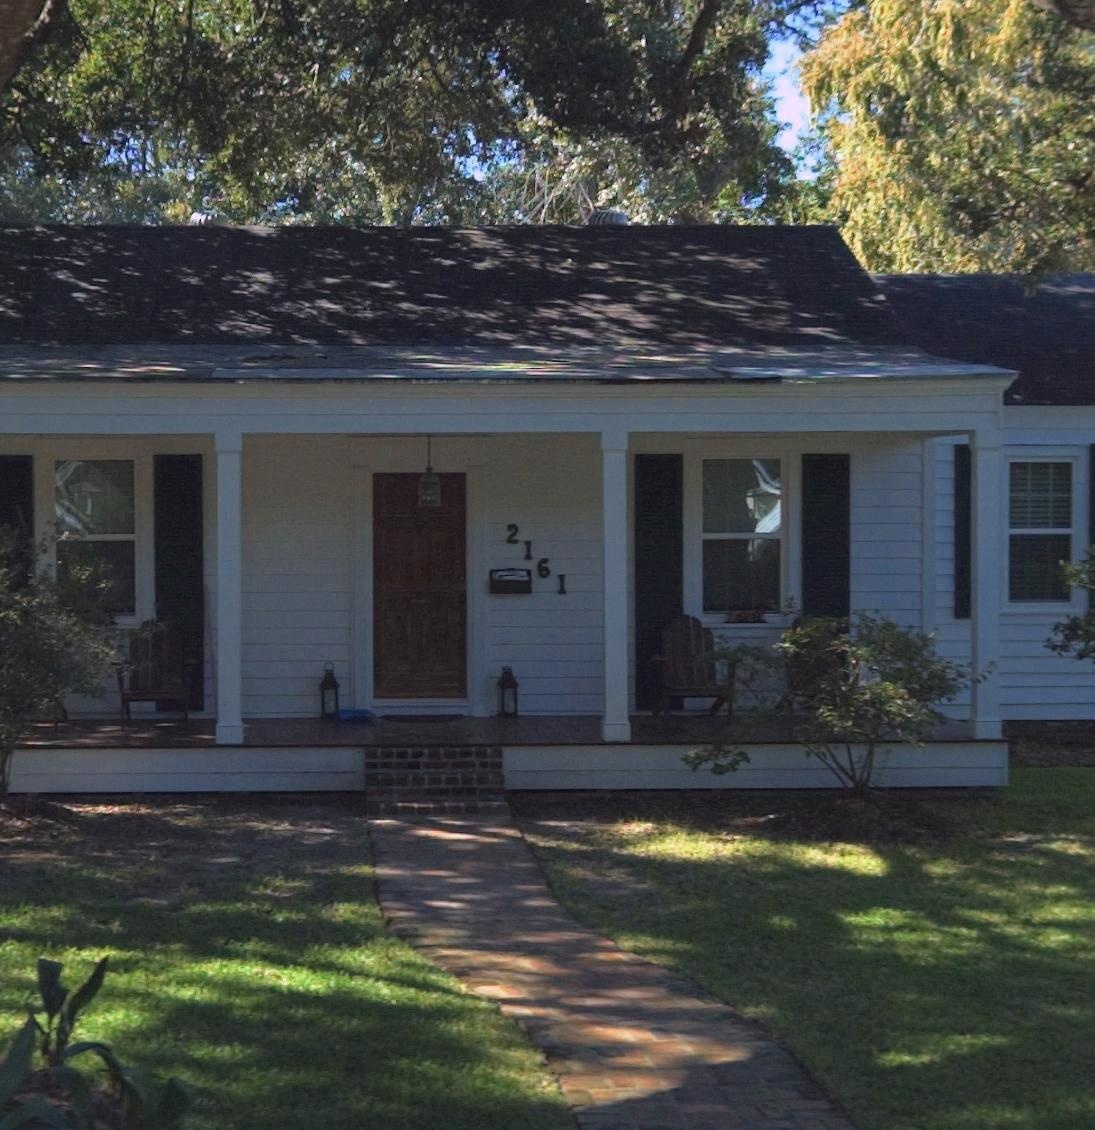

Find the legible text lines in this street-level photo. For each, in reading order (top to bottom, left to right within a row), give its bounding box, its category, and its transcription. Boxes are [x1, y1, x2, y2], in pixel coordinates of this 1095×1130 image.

[504, 521, 569, 597] StreetNumber: 2161